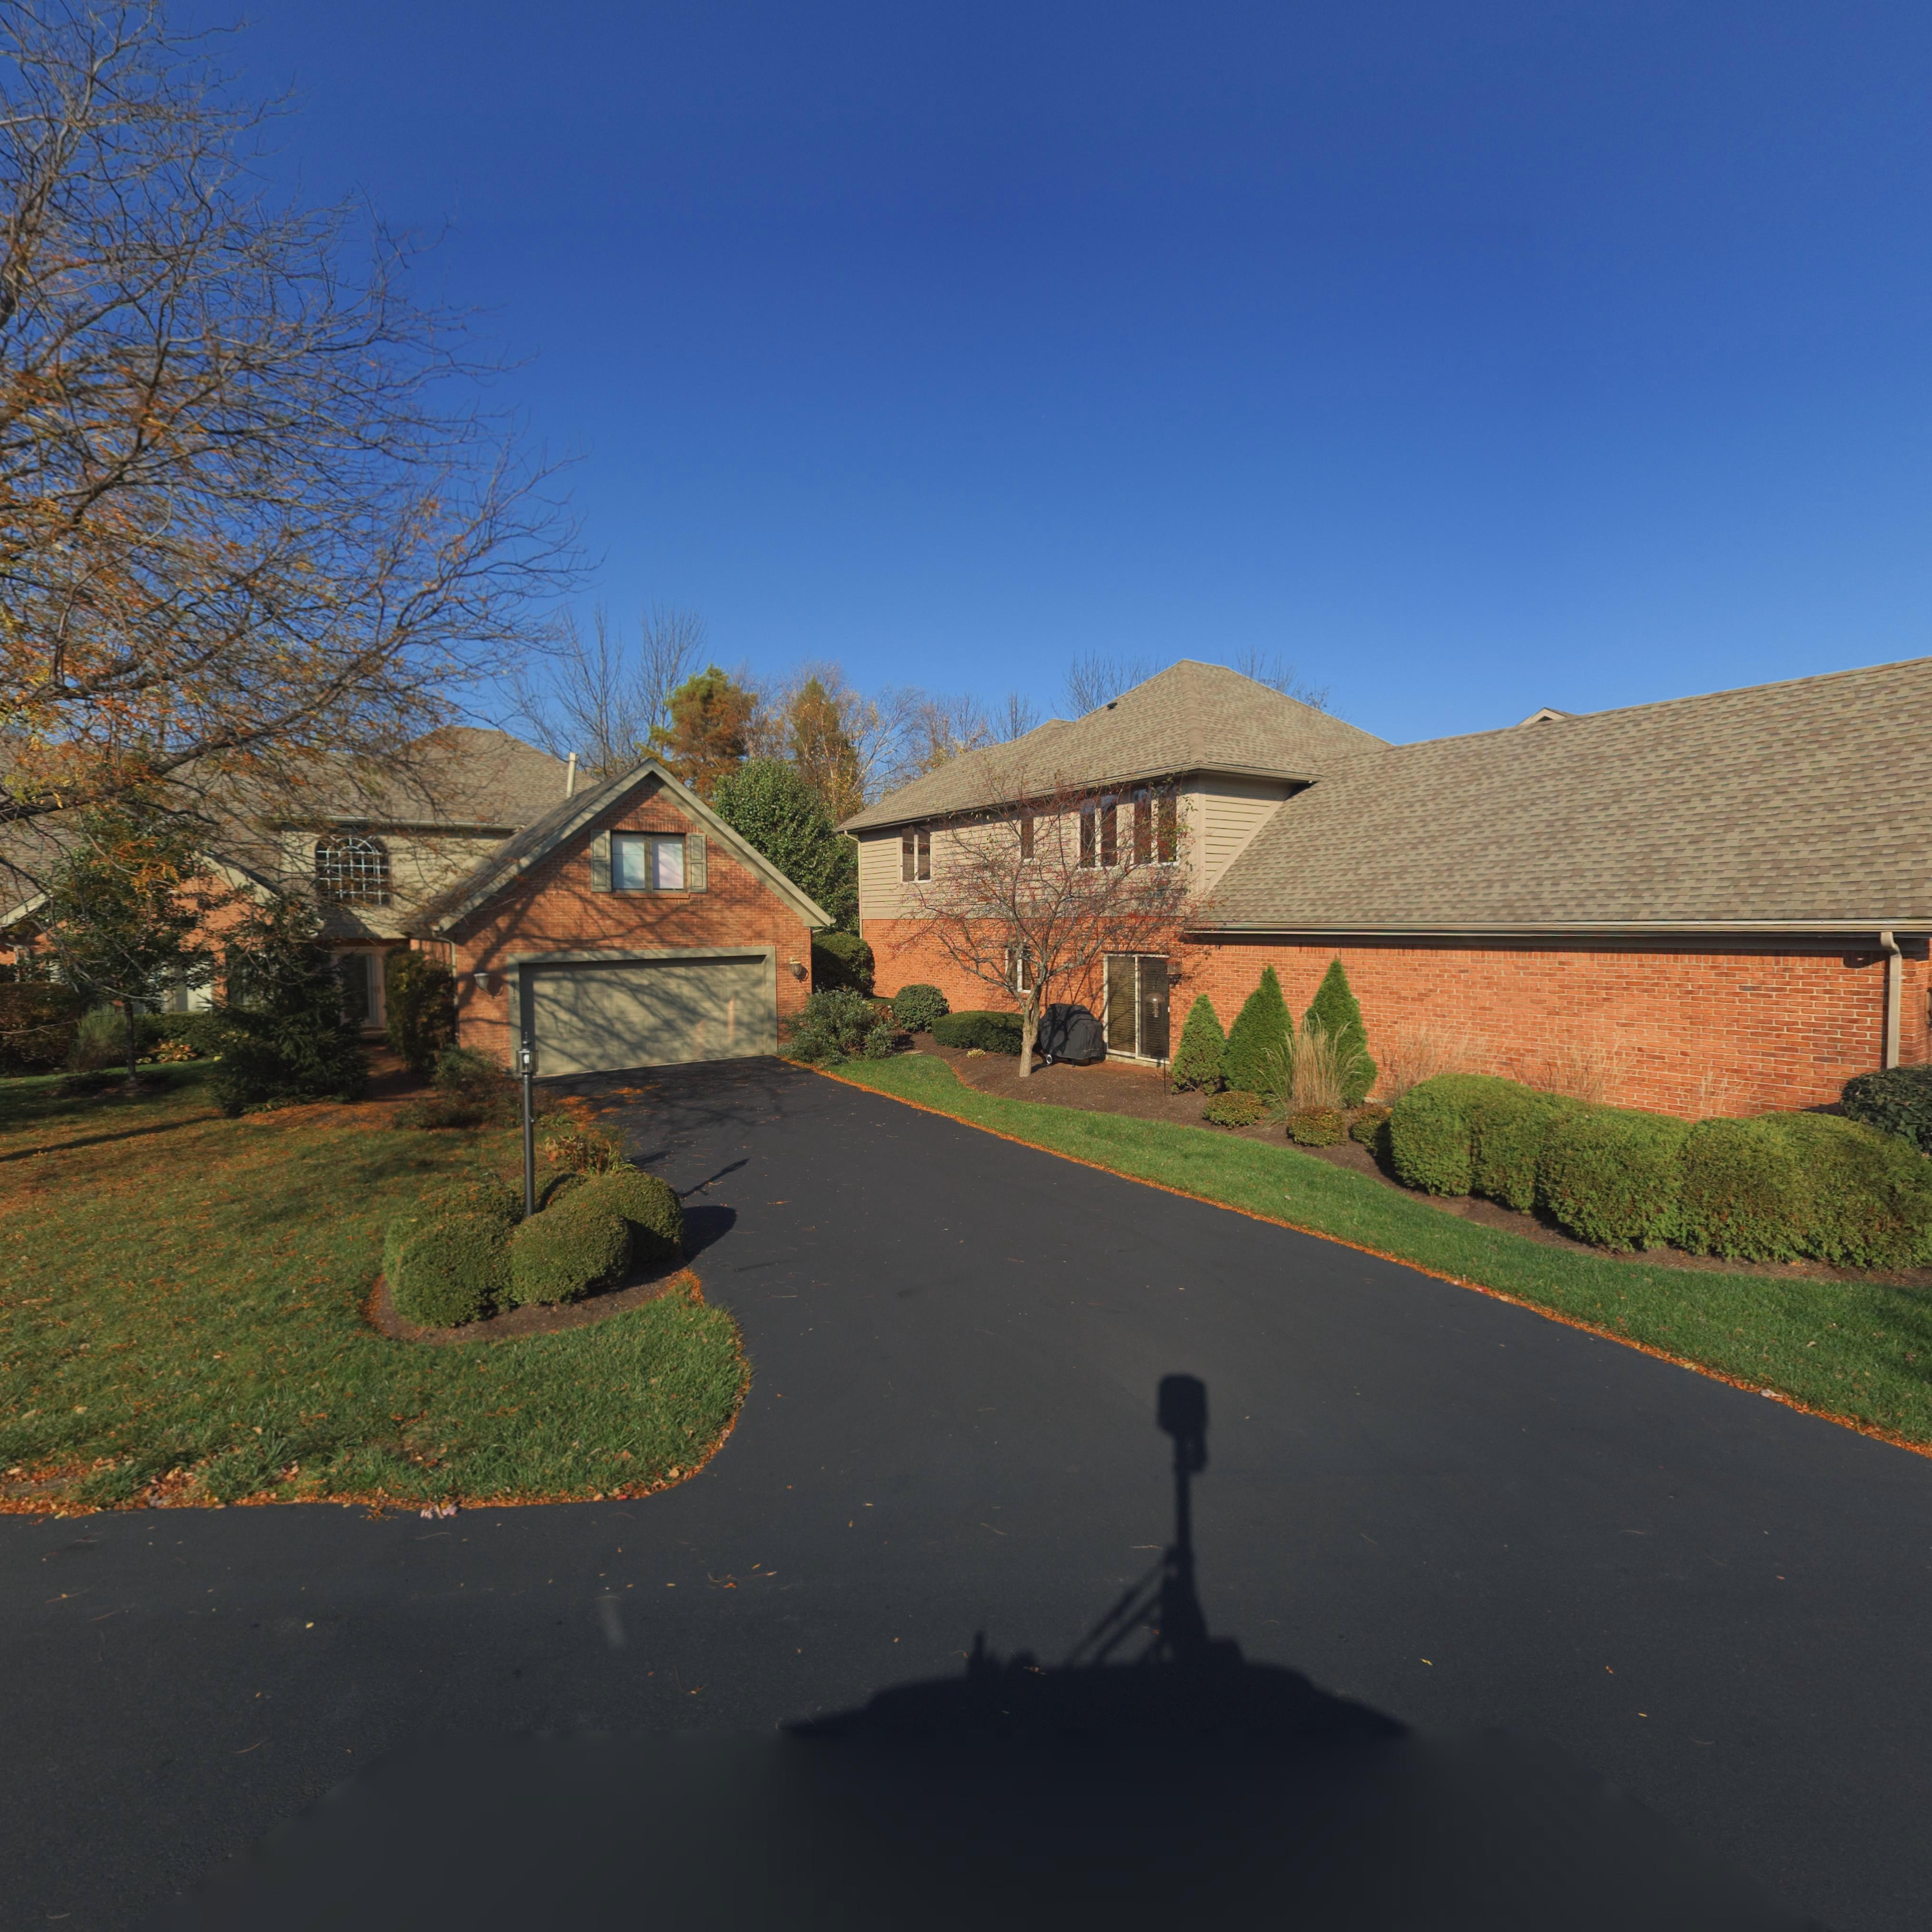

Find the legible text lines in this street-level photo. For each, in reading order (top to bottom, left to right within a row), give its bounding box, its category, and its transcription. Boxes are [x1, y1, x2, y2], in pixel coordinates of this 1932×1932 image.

[510, 978, 518, 1005] StreetNumber: 813